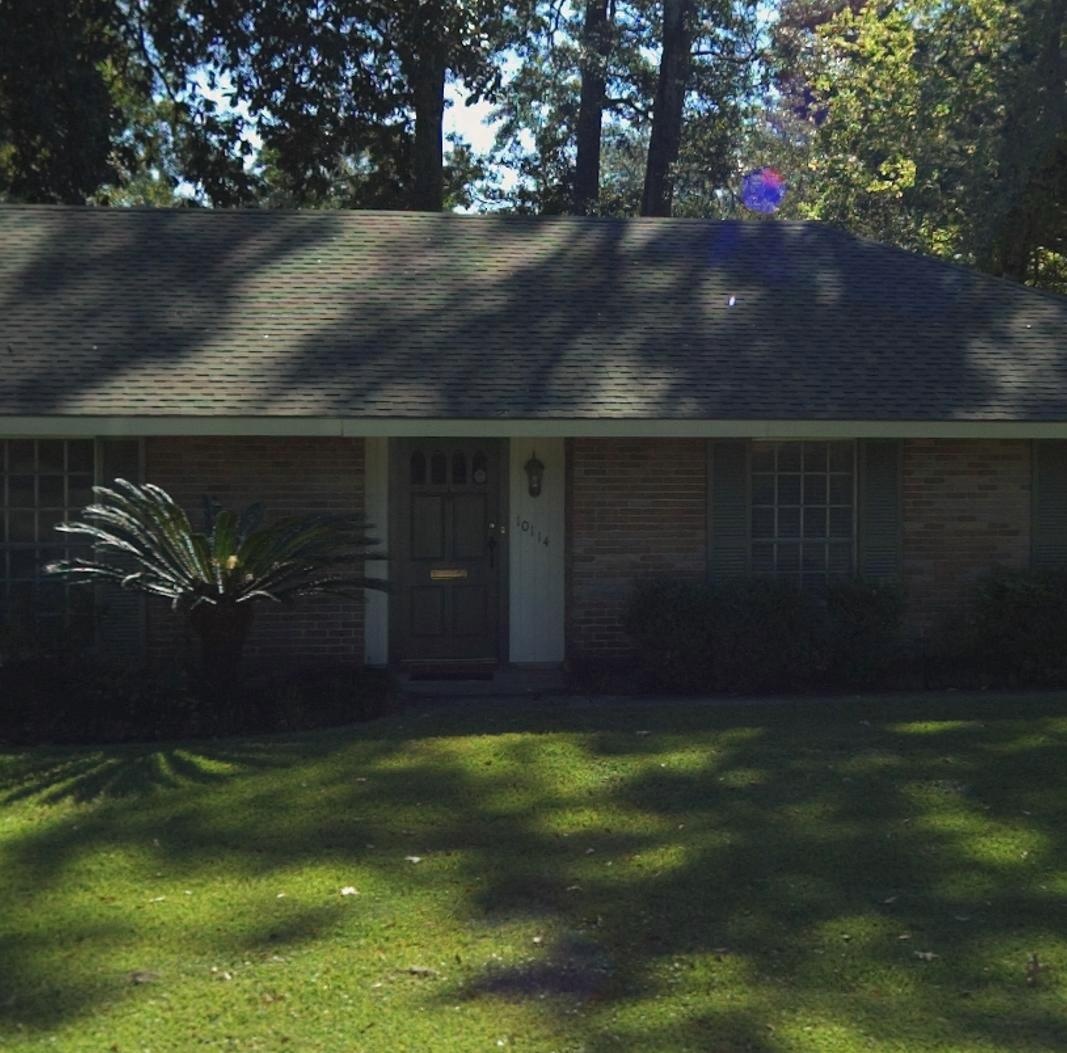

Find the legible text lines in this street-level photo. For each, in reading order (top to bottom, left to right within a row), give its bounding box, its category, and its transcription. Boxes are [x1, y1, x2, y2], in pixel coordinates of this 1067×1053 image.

[514, 513, 551, 550] StreetNumber: 10114